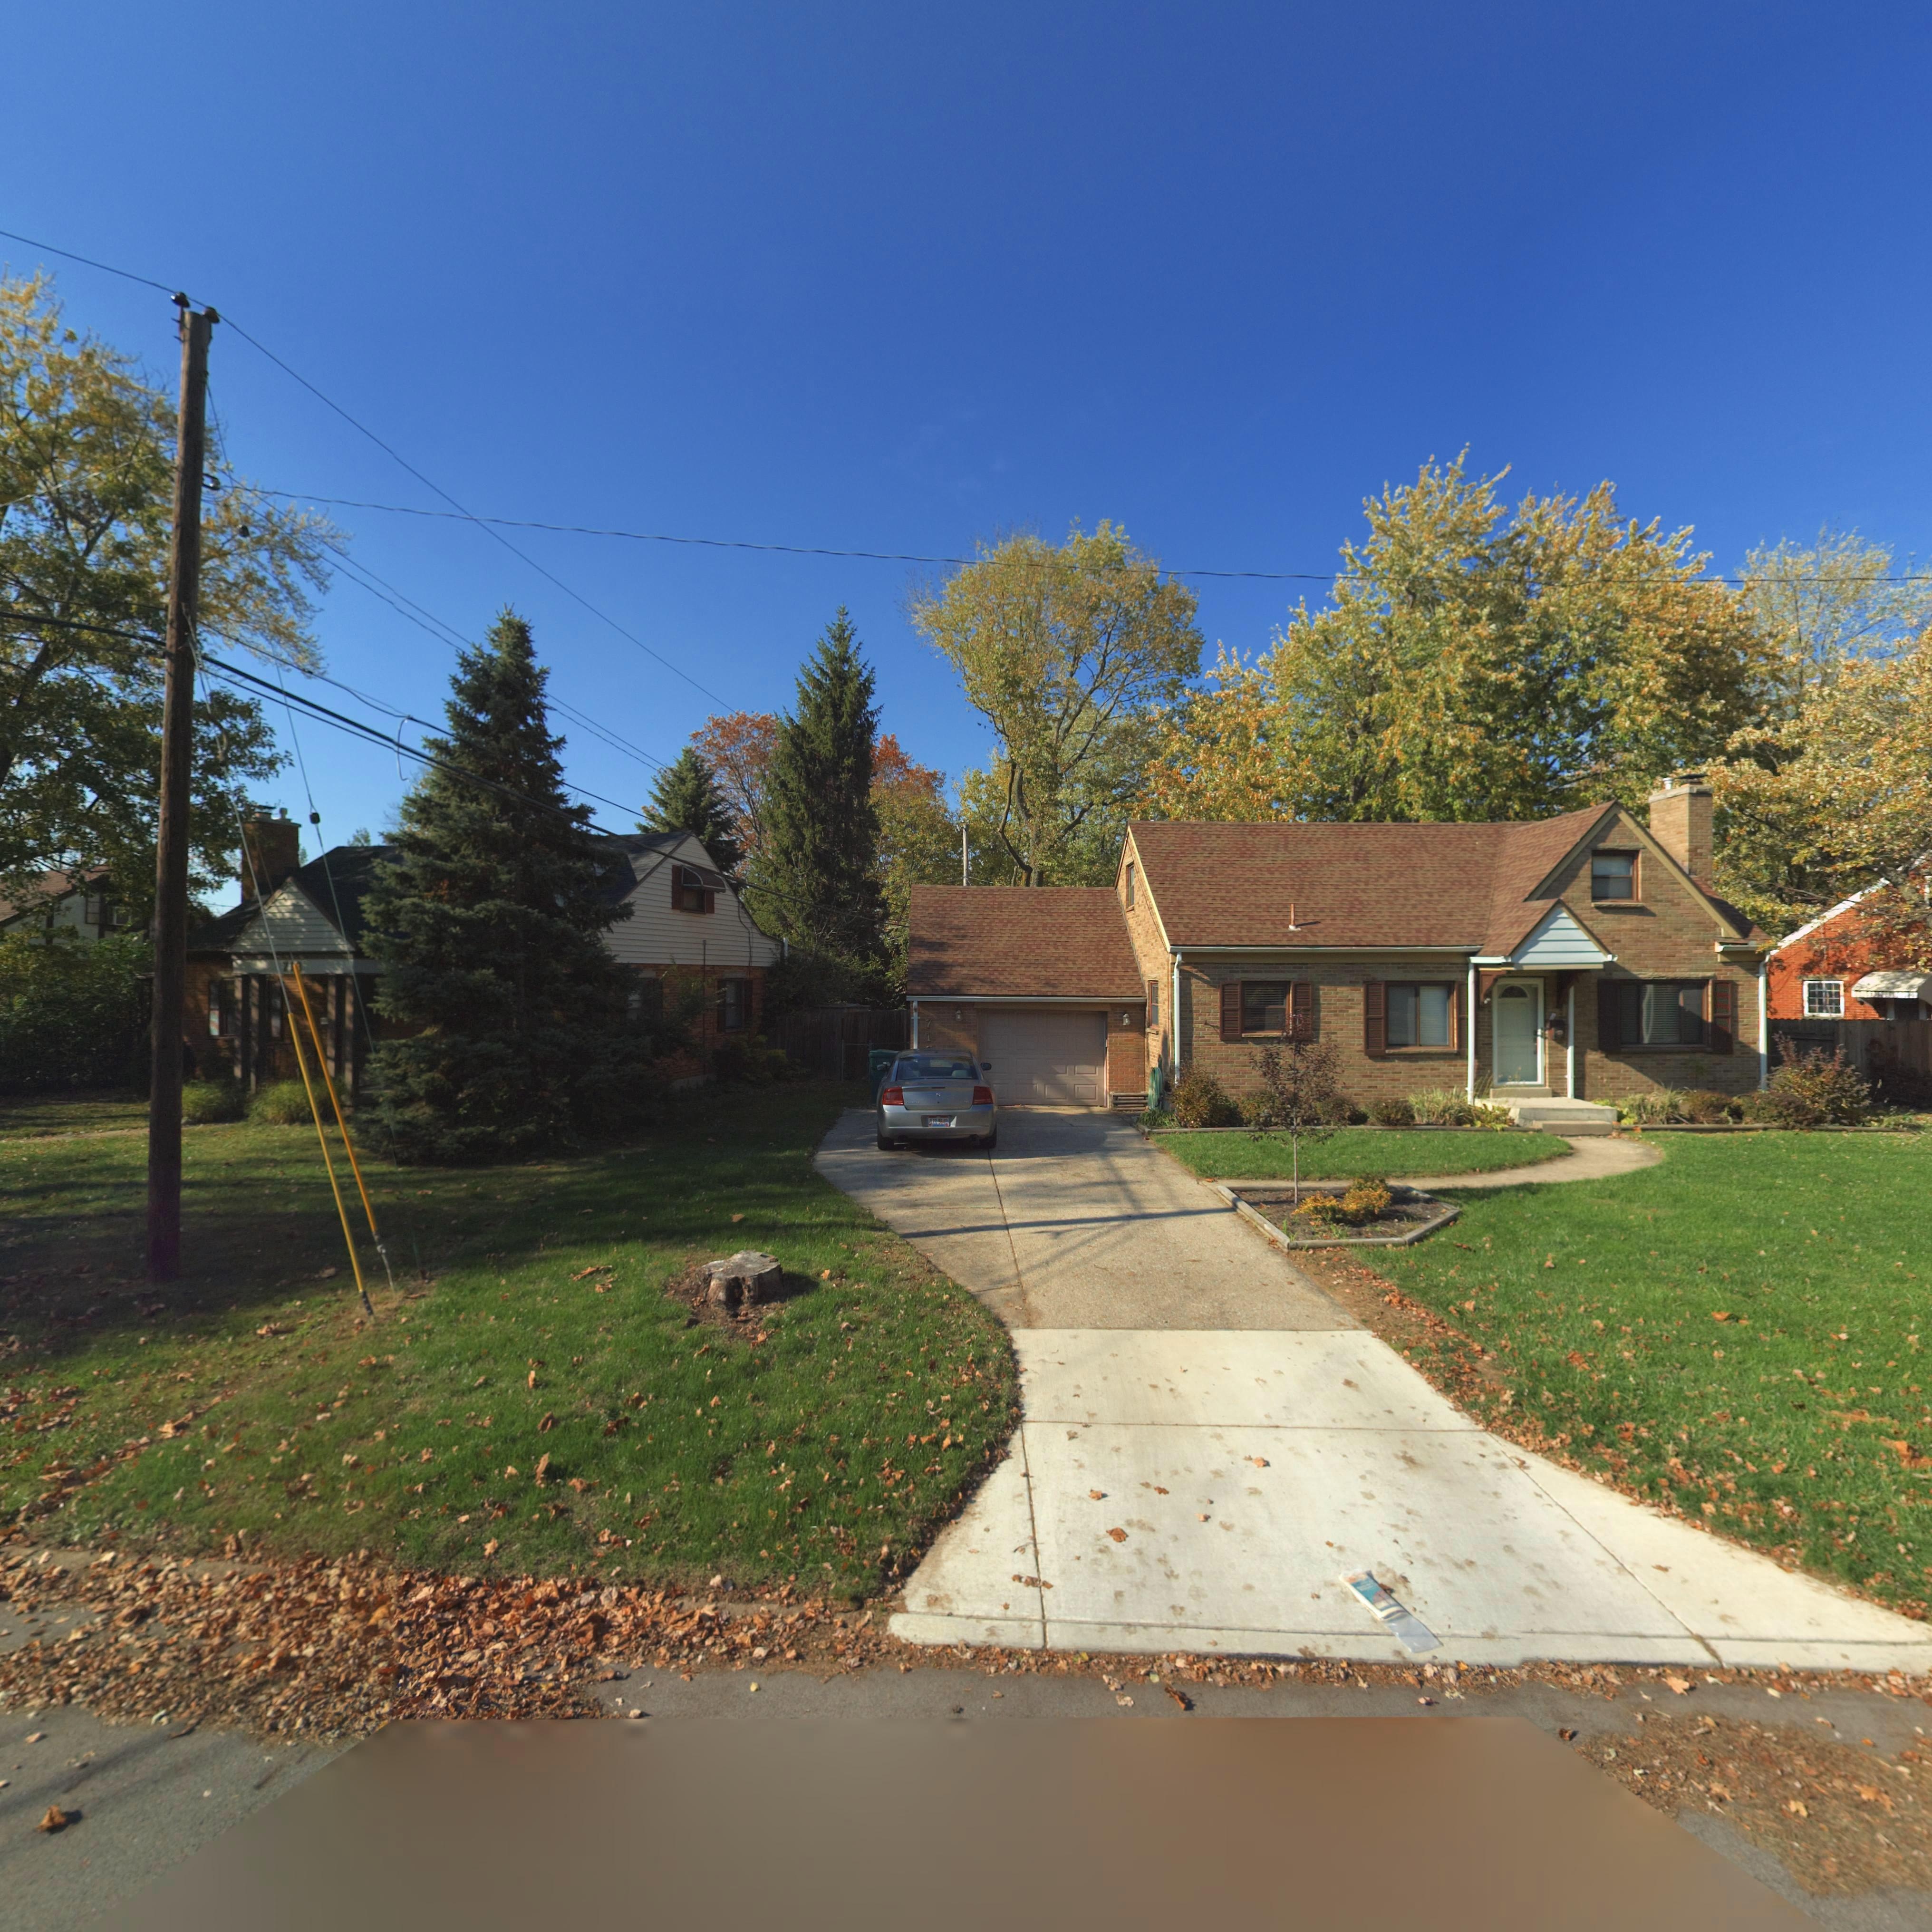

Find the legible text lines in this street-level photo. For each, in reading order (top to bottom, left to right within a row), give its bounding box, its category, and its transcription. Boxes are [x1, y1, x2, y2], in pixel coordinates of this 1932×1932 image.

[282, 961, 294, 972] StreetNumber: 71
[926, 1018, 932, 1042] StreetNumber: 71